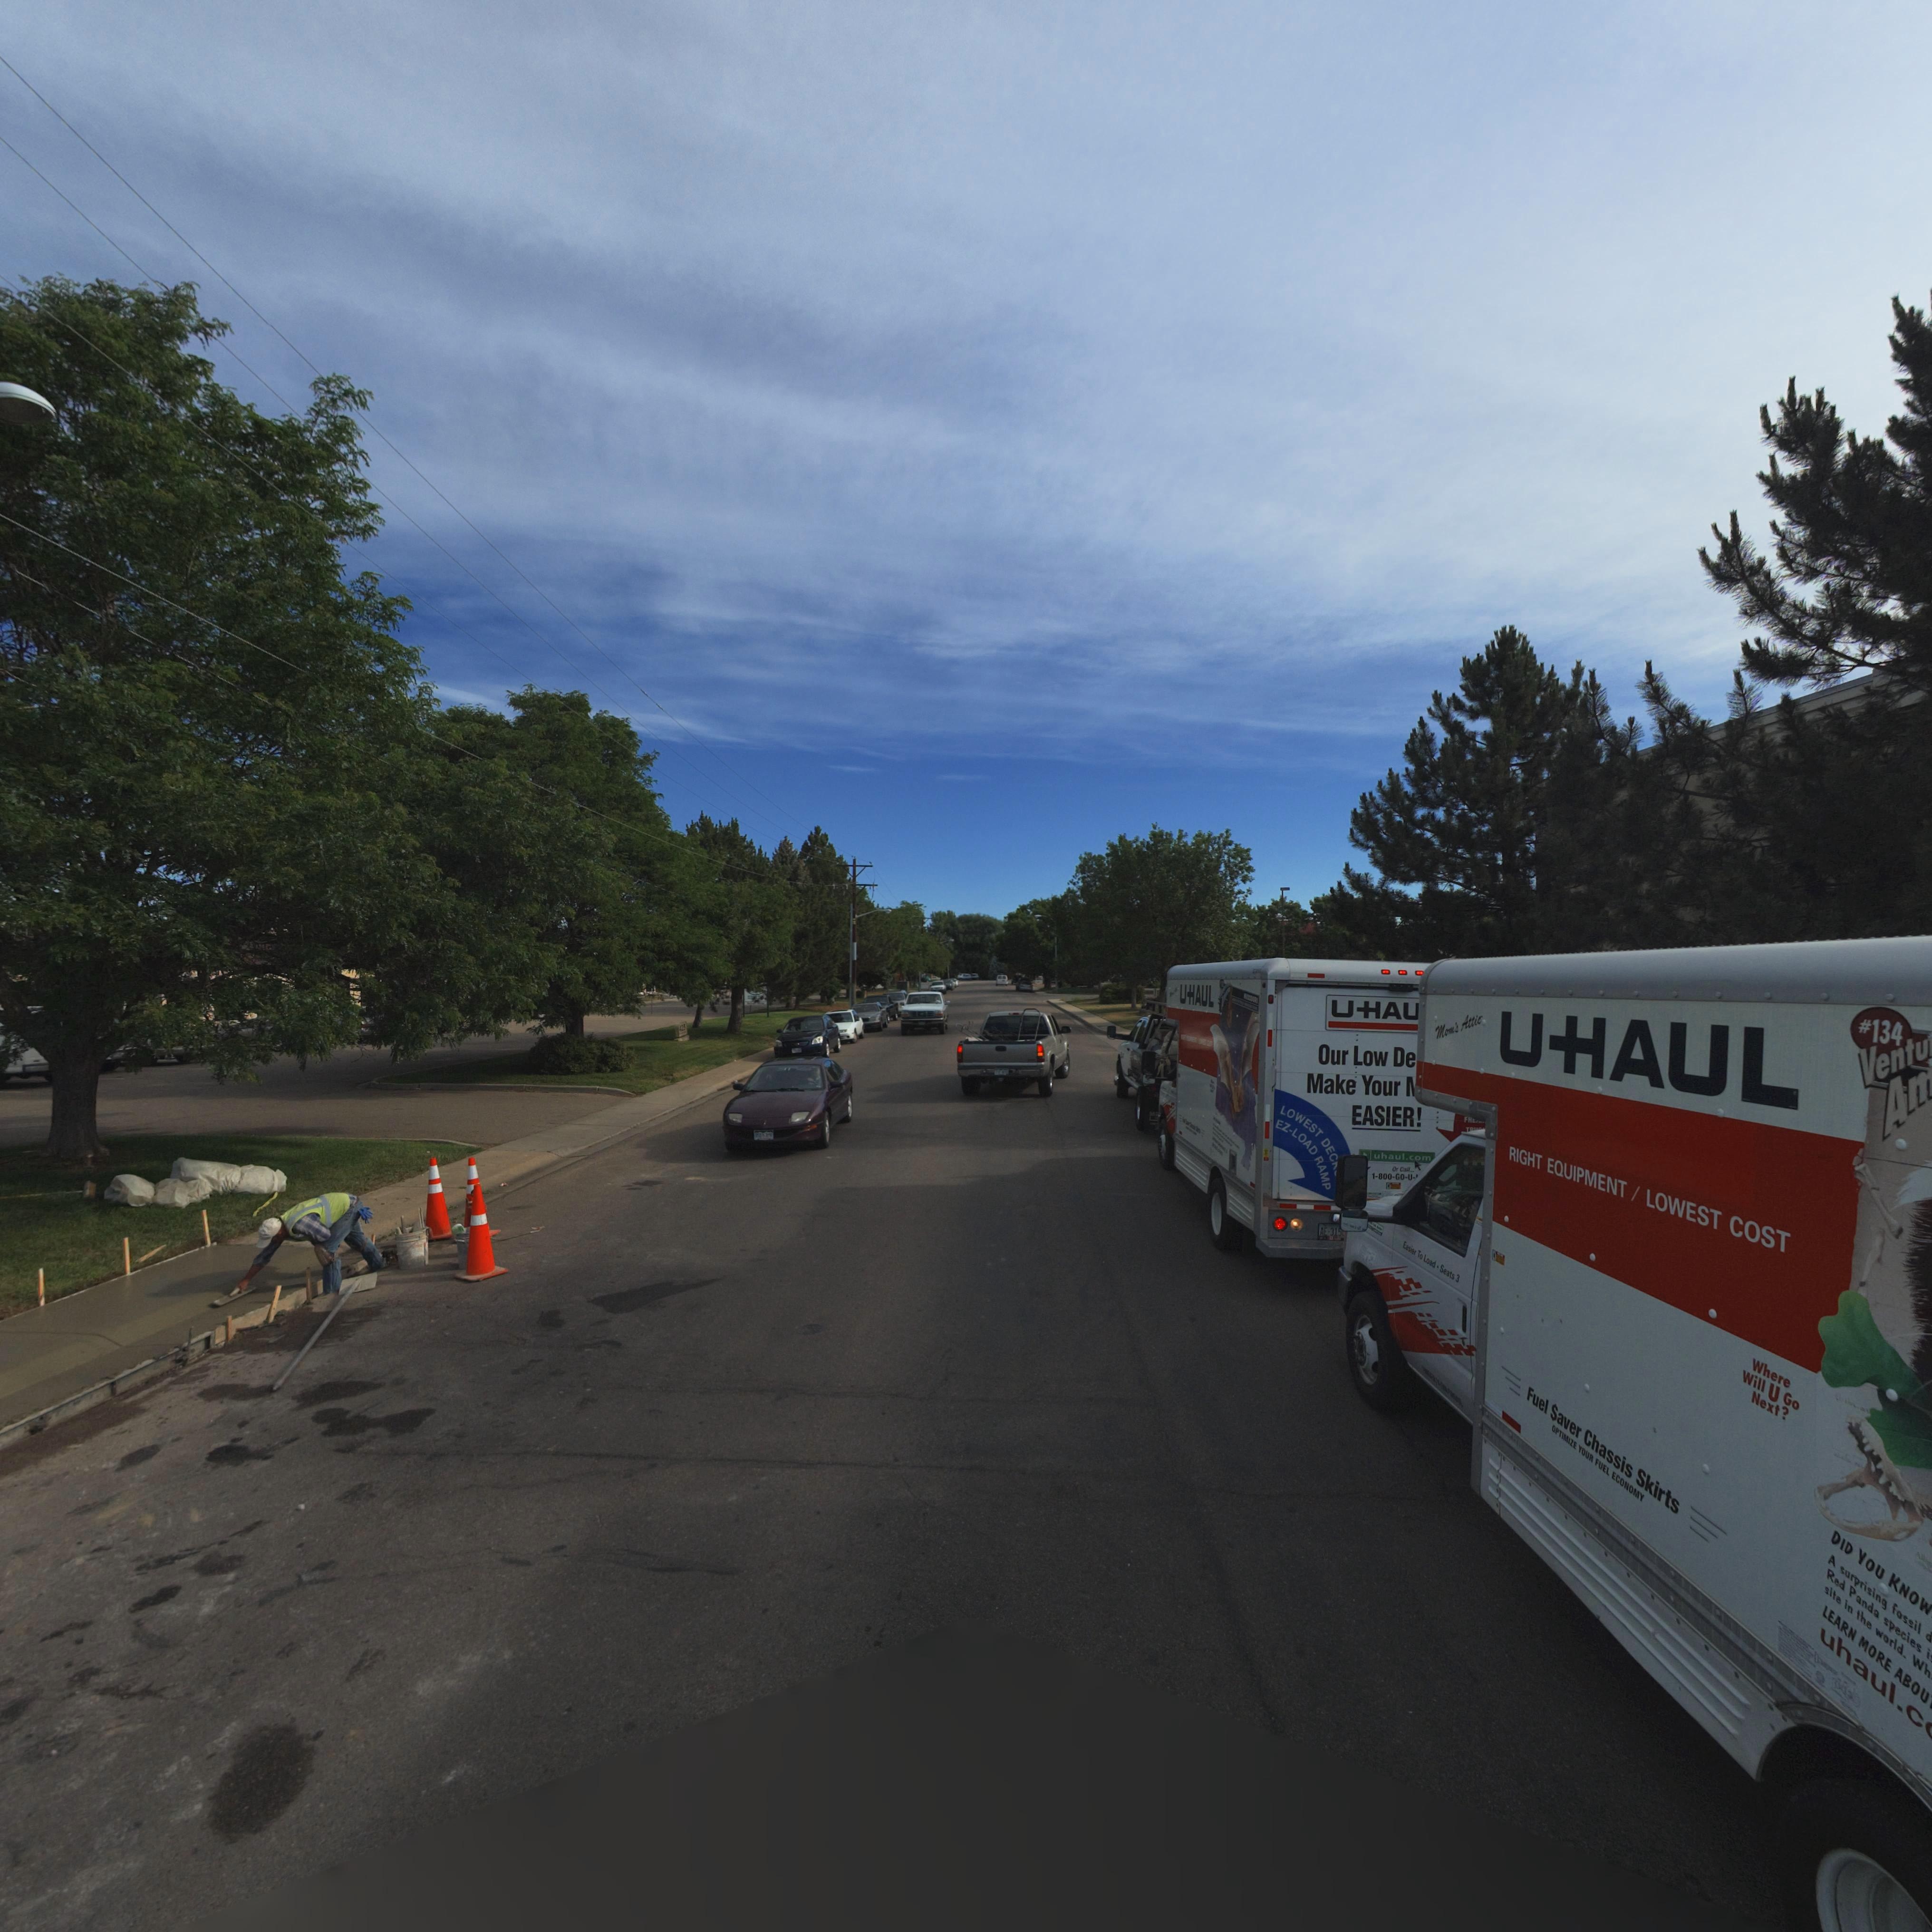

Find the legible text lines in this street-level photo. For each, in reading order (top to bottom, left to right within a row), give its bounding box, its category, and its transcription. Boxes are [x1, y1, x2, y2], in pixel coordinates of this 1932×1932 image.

[679, 1023, 686, 1033] StreetNumber: 42*